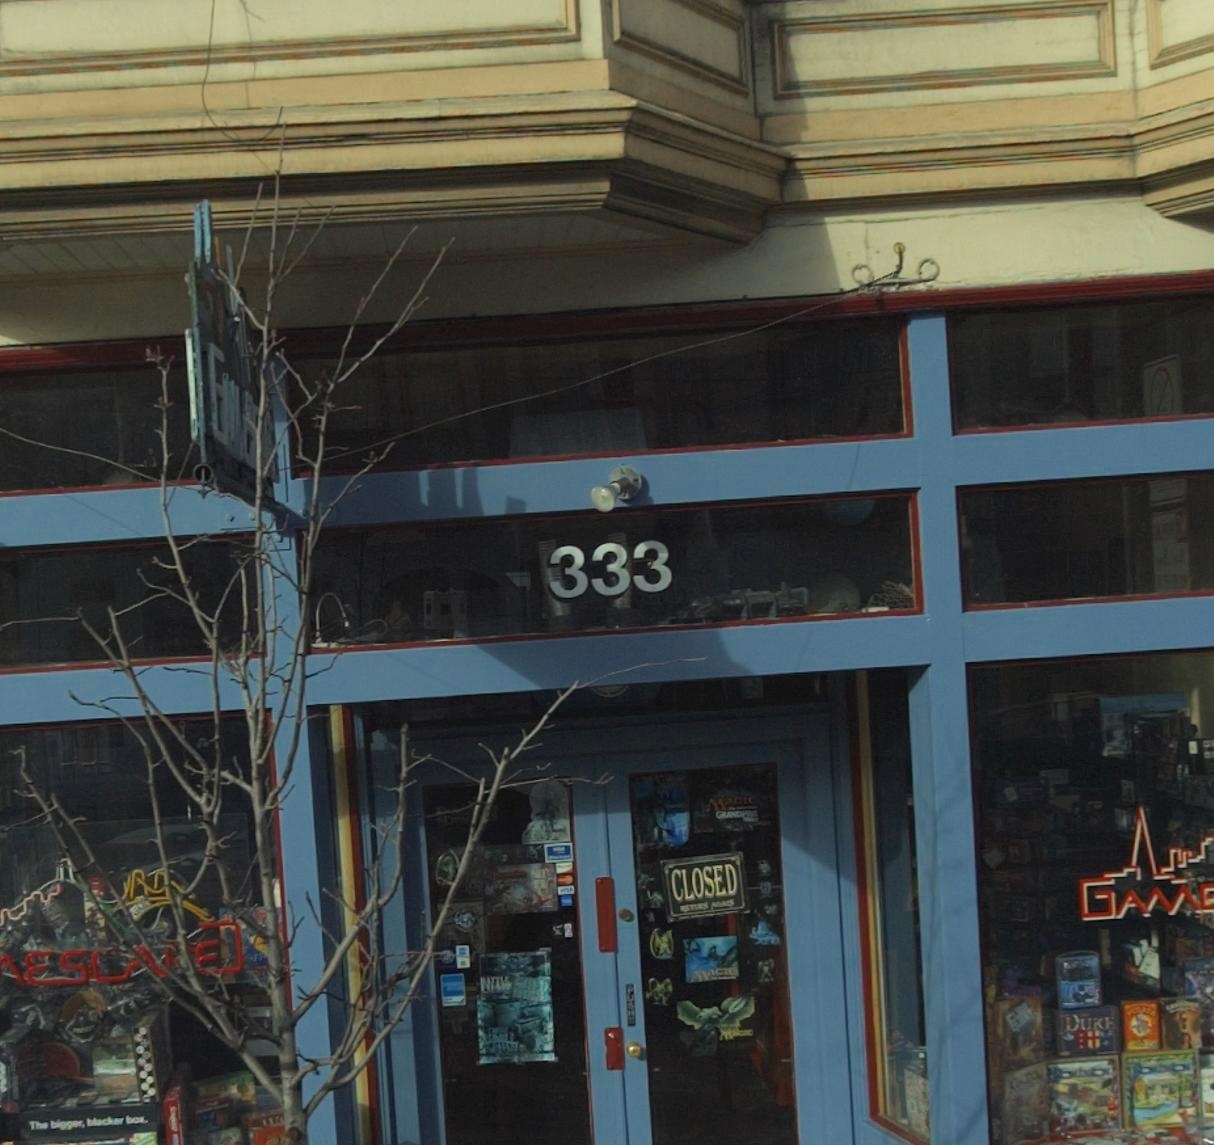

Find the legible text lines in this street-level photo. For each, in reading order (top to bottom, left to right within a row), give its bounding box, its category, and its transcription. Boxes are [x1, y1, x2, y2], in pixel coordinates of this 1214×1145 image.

[545, 536, 676, 601] StreetNumber: 333
[703, 791, 756, 815] None: MaGIC
[669, 860, 740, 905] None: CLOSED
[1075, 873, 1205, 924] None: GAM
[20, 936, 226, 990] BusinessName: ESC**E
[686, 963, 739, 986] None: MaGIC
[1062, 1012, 1116, 1034] None: DUKE
[25, 1111, 150, 1135] None: The bigger, bla**** bo*